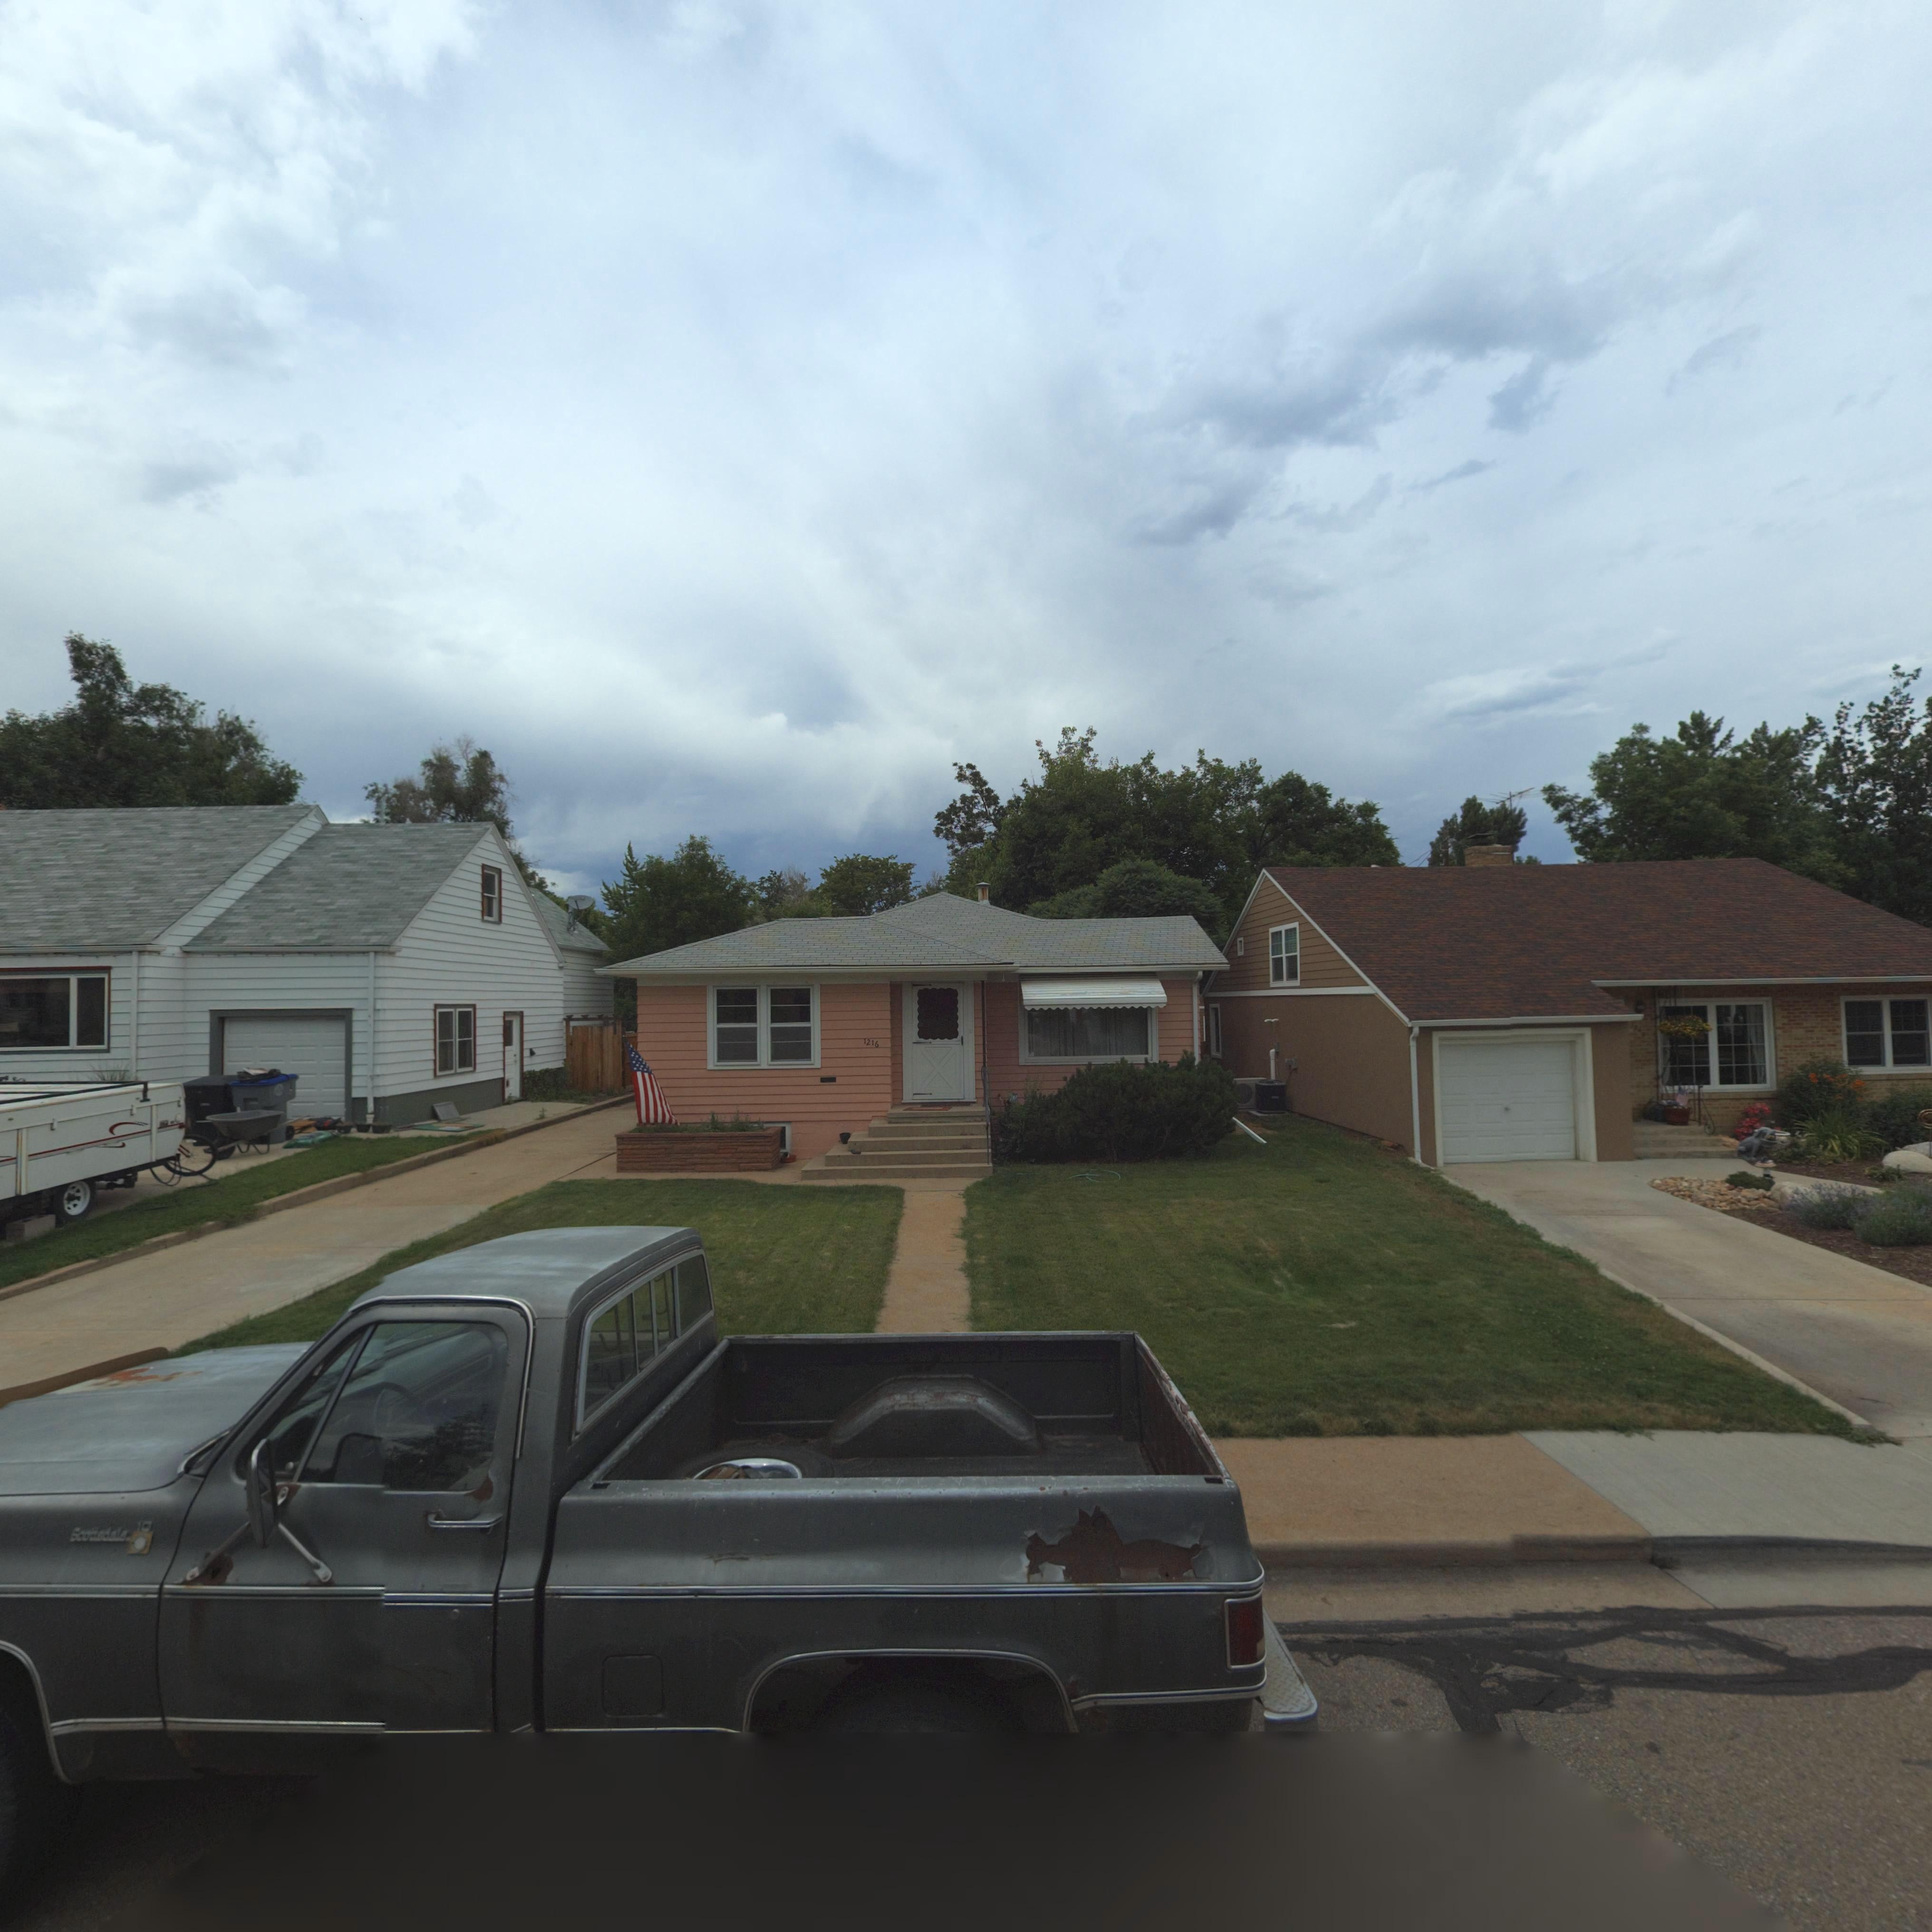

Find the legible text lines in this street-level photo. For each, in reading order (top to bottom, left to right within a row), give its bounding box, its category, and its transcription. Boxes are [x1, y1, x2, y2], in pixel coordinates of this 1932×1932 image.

[863, 1037, 879, 1048] StreetNumber: 1216